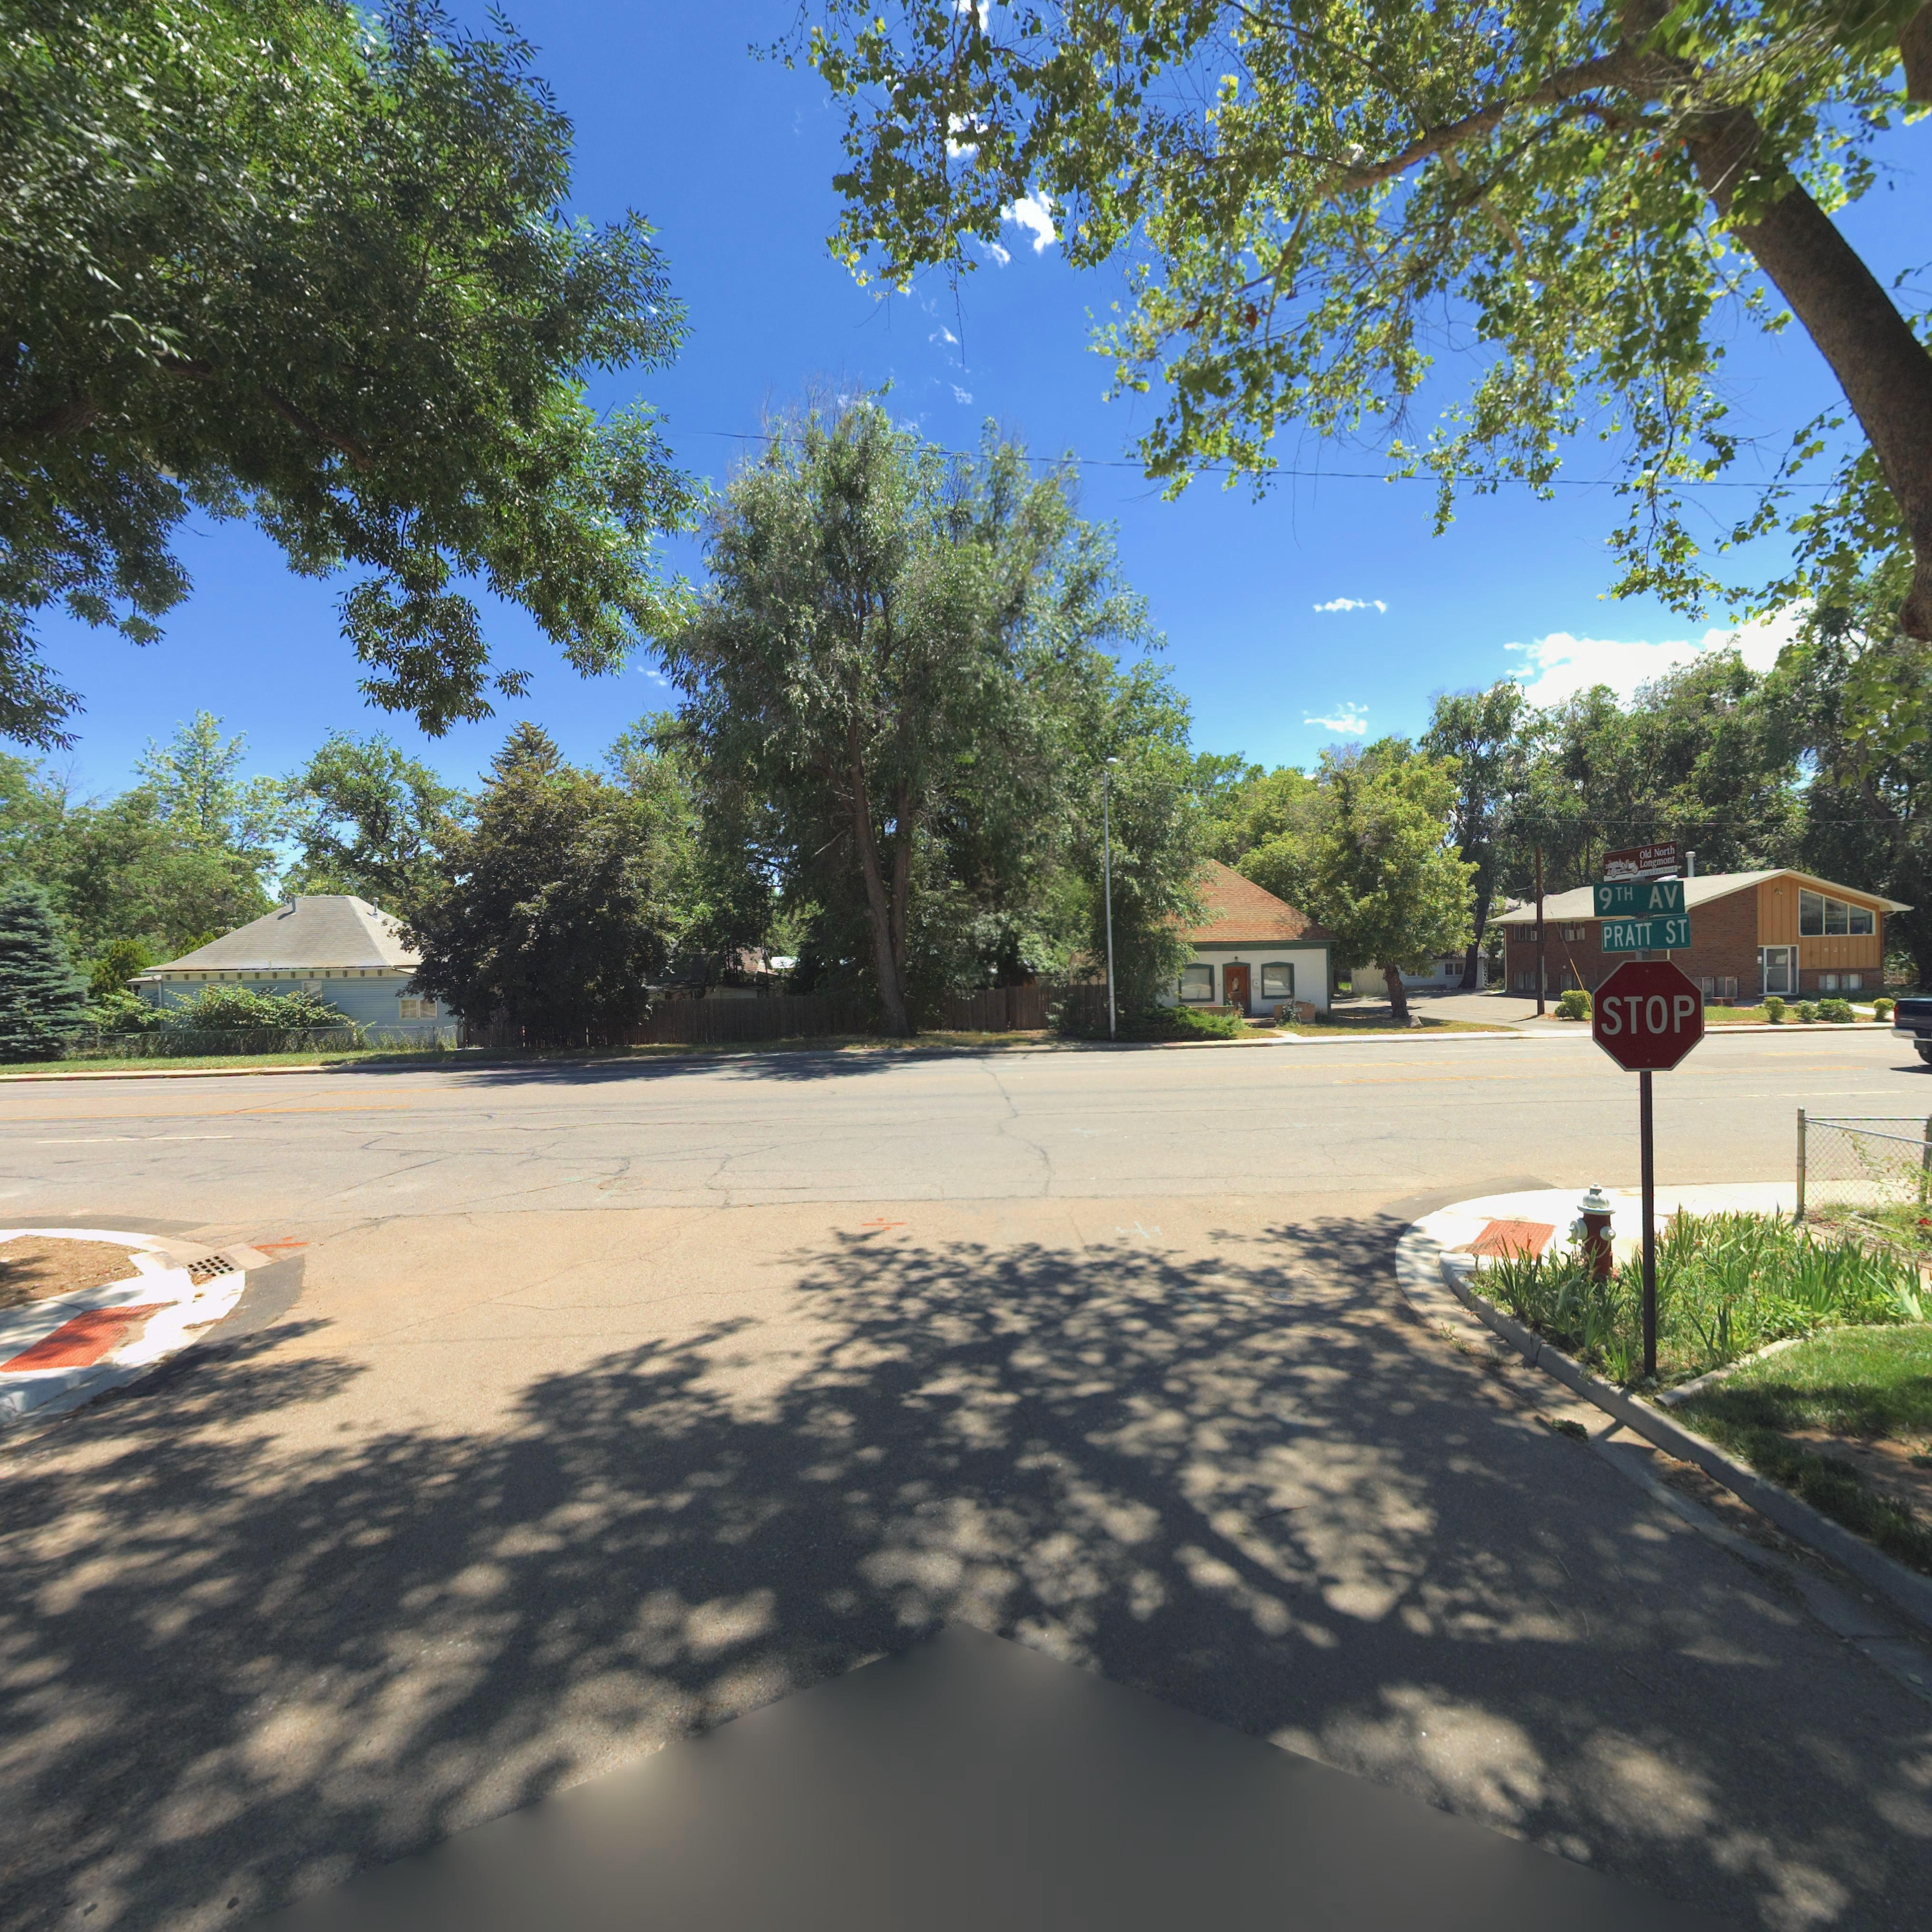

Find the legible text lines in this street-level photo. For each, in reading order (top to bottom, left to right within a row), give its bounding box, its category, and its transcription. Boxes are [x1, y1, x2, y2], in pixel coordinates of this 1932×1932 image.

[1598, 884, 1678, 910] StreetName: 9TH AV
[1603, 918, 1688, 948] StreetName: PRATT ST
[1823, 947, 1846, 953] StreetNumber: 921
[1600, 995, 1695, 1035] BusinessName: STOP